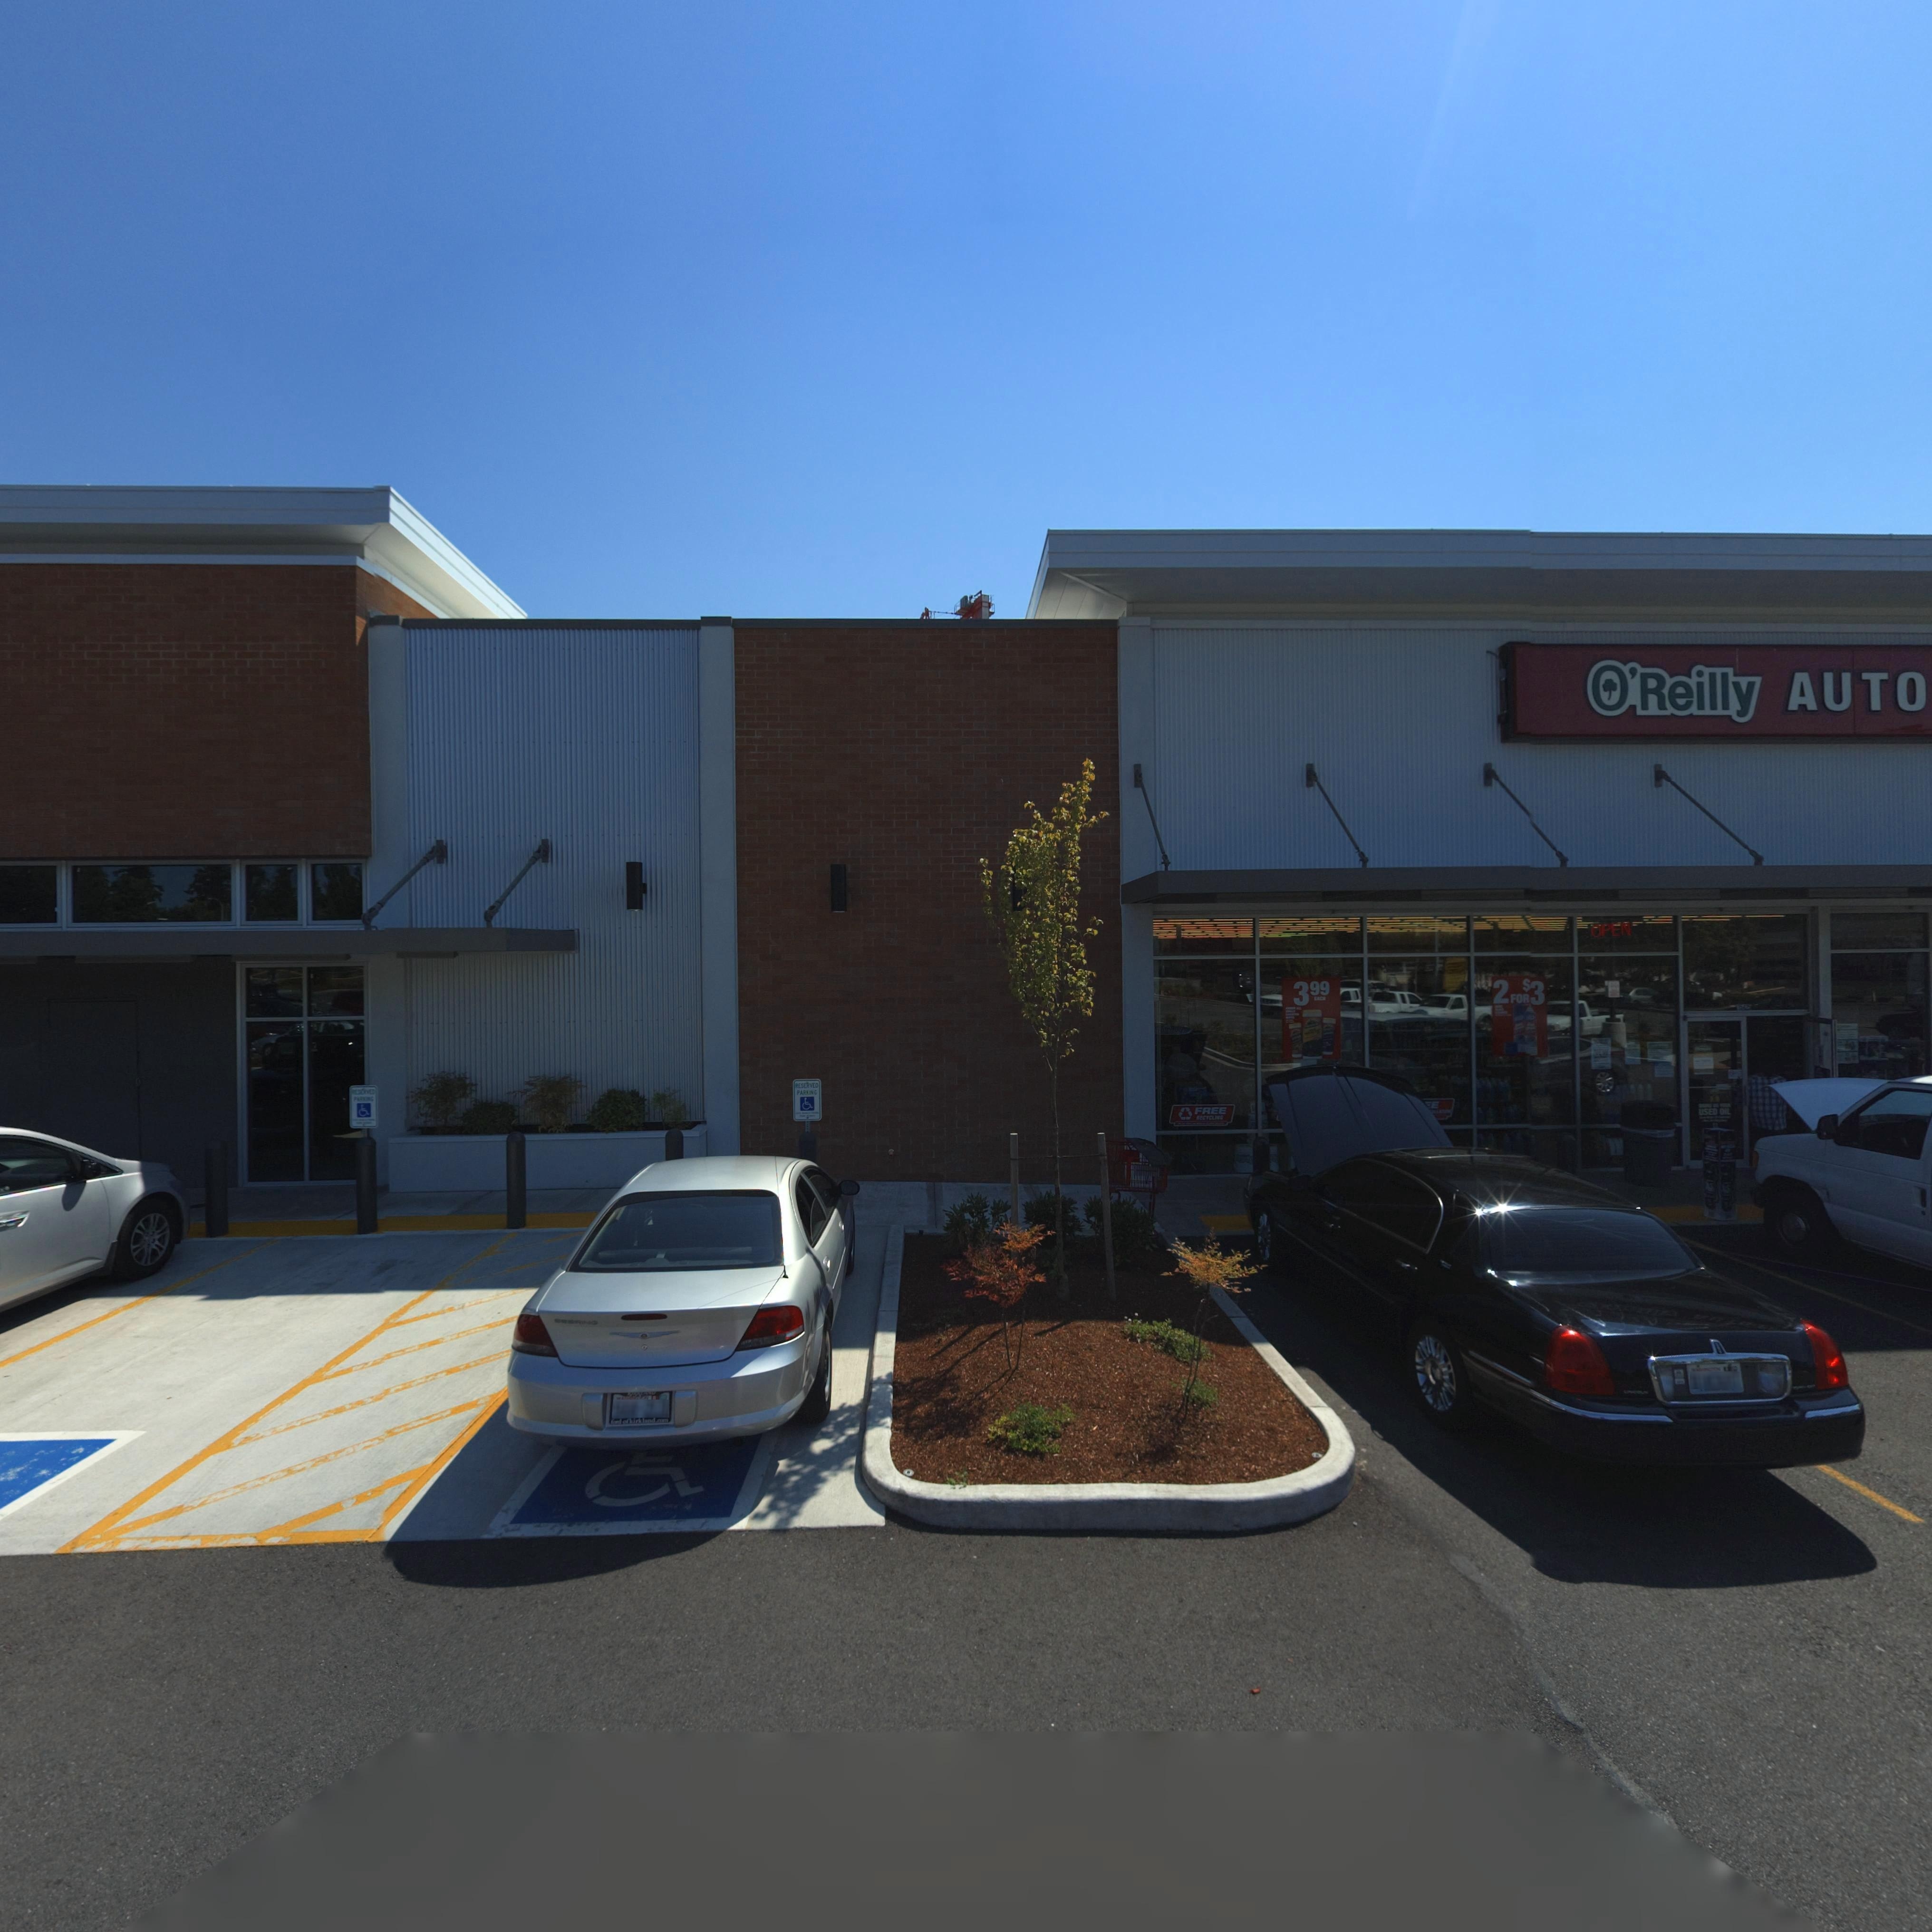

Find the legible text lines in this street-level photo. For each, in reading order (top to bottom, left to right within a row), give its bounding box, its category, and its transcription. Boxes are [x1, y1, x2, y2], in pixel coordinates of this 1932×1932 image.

[1589, 659, 1770, 726] BusinessName: *Reilly
[1788, 672, 1926, 710] BusinessName: AUTO